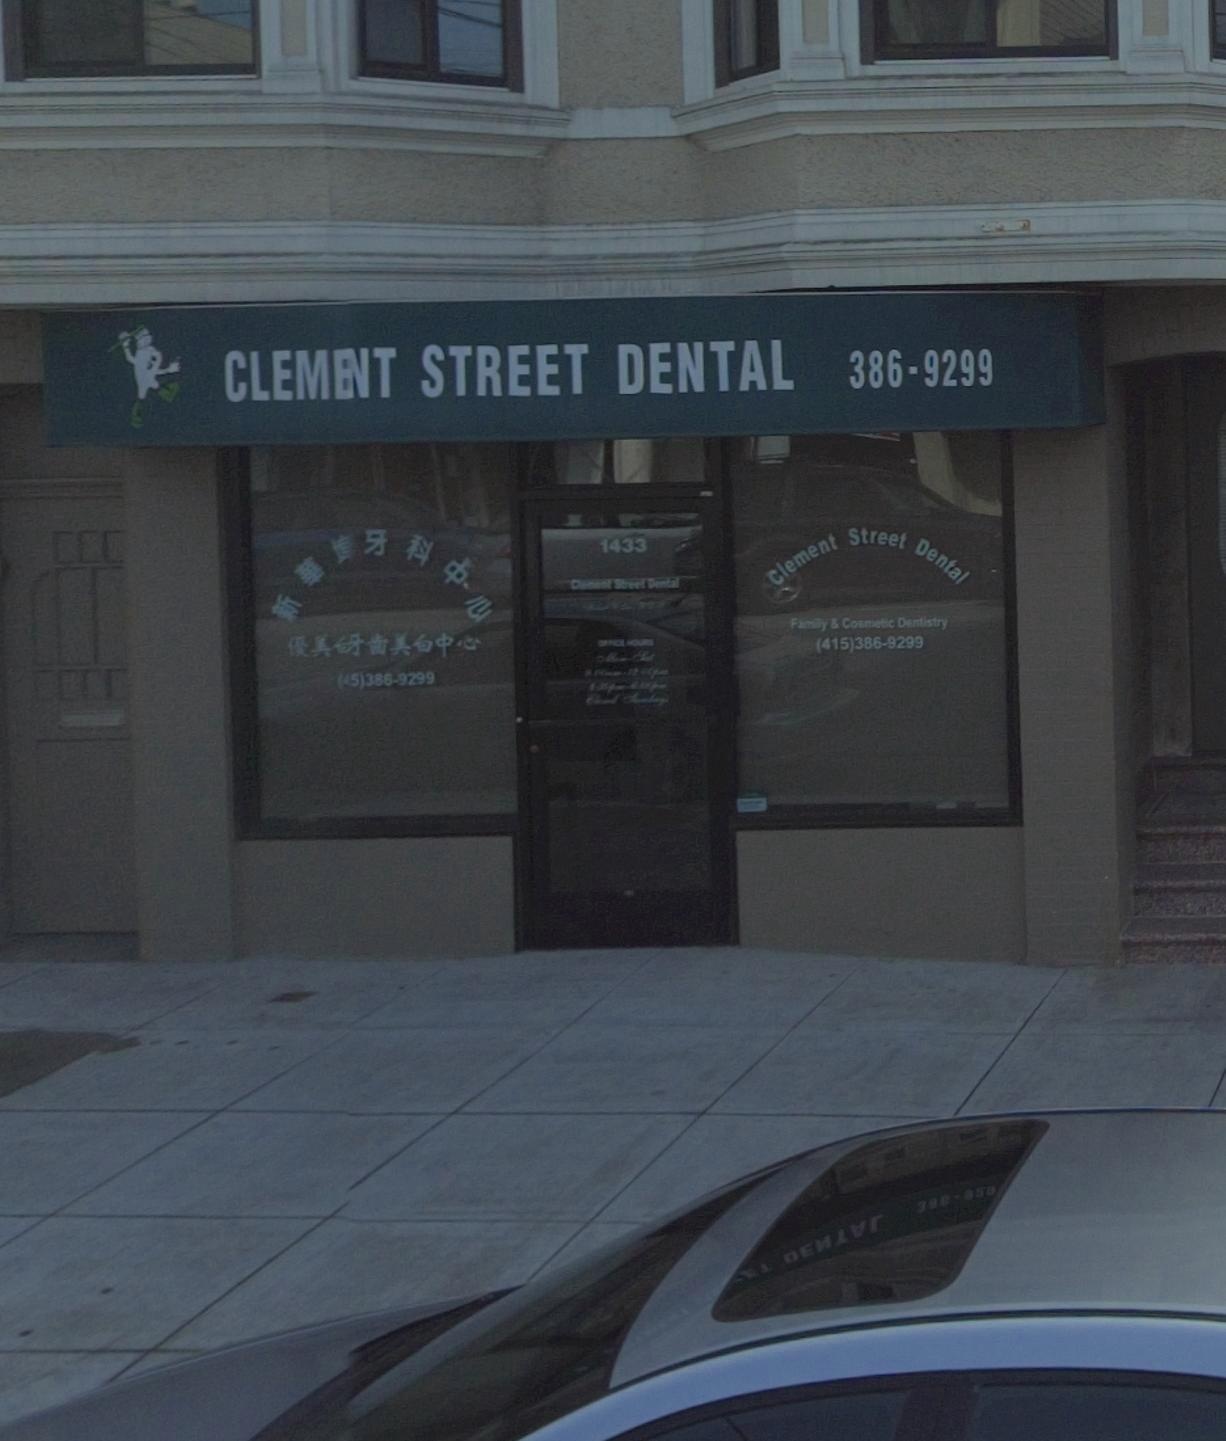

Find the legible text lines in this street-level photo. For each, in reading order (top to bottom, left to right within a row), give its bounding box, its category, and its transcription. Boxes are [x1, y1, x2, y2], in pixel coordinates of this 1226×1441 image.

[223, 339, 796, 404] BusinessName: CLEMENT STREET DENTAL
[848, 348, 994, 390] None: 386-9299
[597, 536, 648, 555] StreetNumber: 1433
[764, 525, 972, 587] BusinessName: Clement Street Dental
[570, 576, 680, 591] BusinessName: Clement Street Dental
[789, 616, 950, 633] None: Family & Cosmetic Dentistry
[596, 639, 655, 648] None: OFFICE HOURS
[814, 635, 925, 655] None: (415)386-9299
[350, 671, 436, 690] None: 5)386-9299